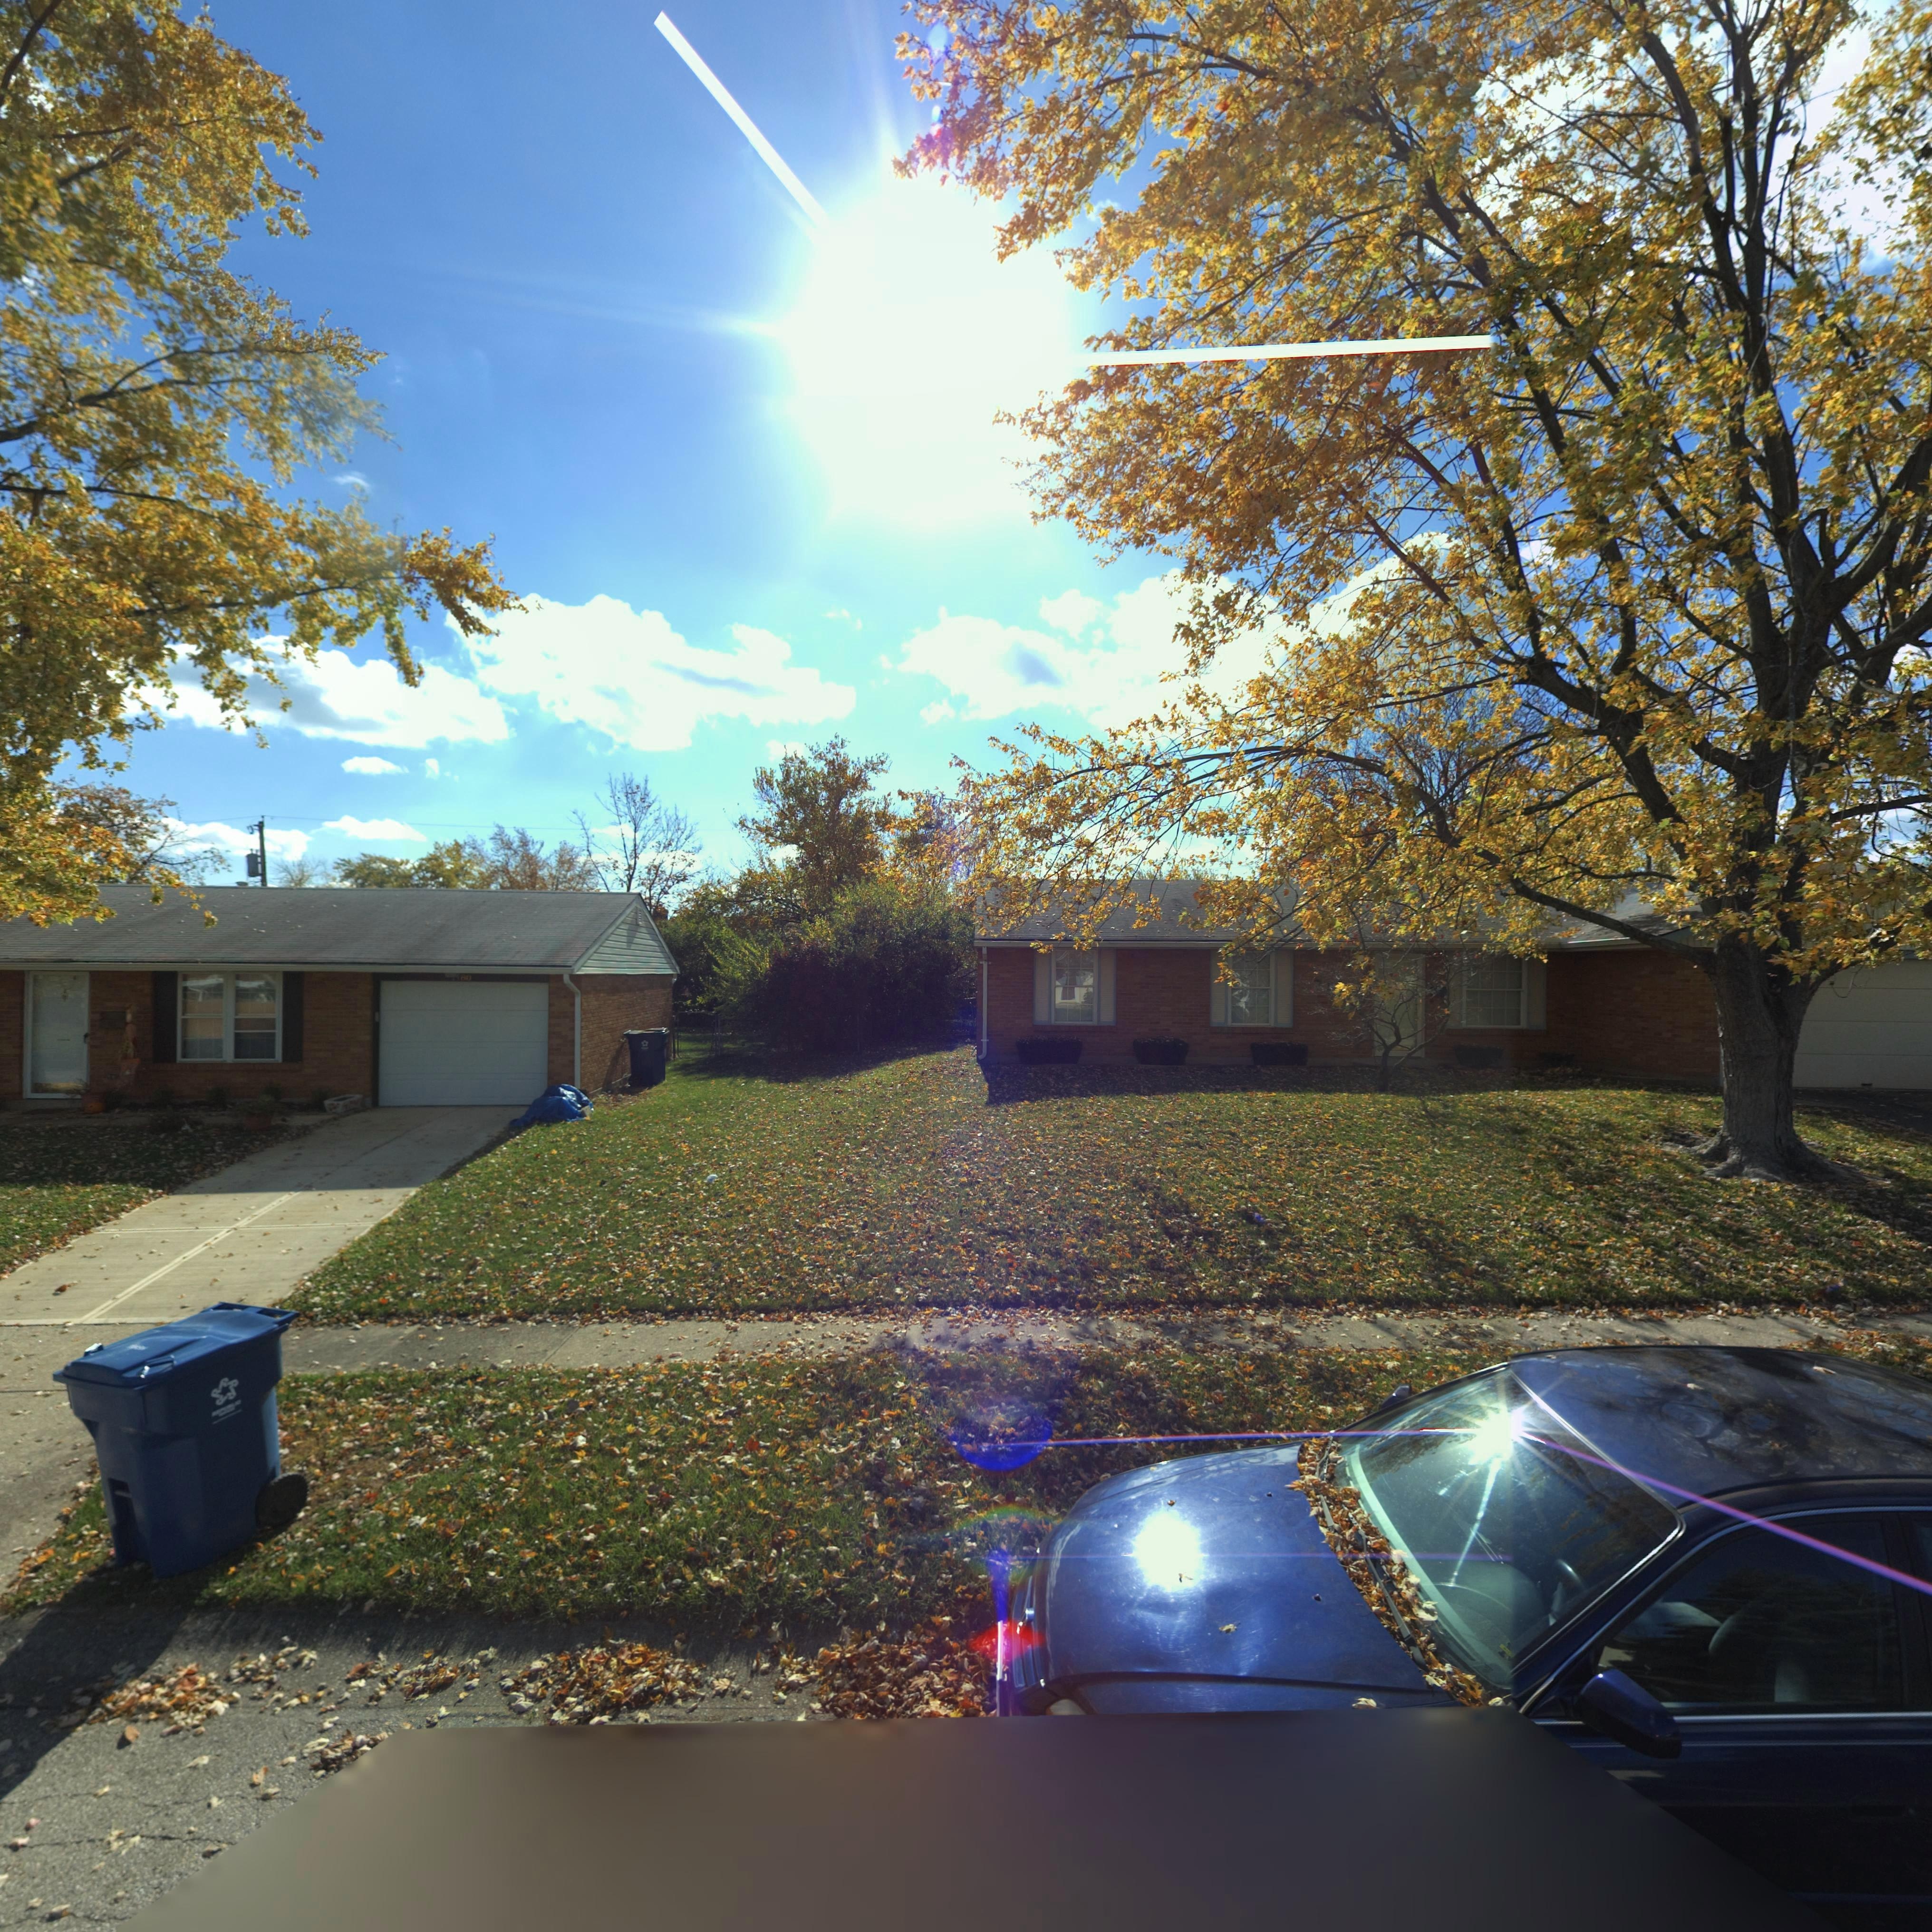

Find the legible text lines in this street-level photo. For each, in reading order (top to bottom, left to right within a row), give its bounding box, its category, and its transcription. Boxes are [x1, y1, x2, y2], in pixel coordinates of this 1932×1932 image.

[459, 973, 473, 982] StreetNumber: 80